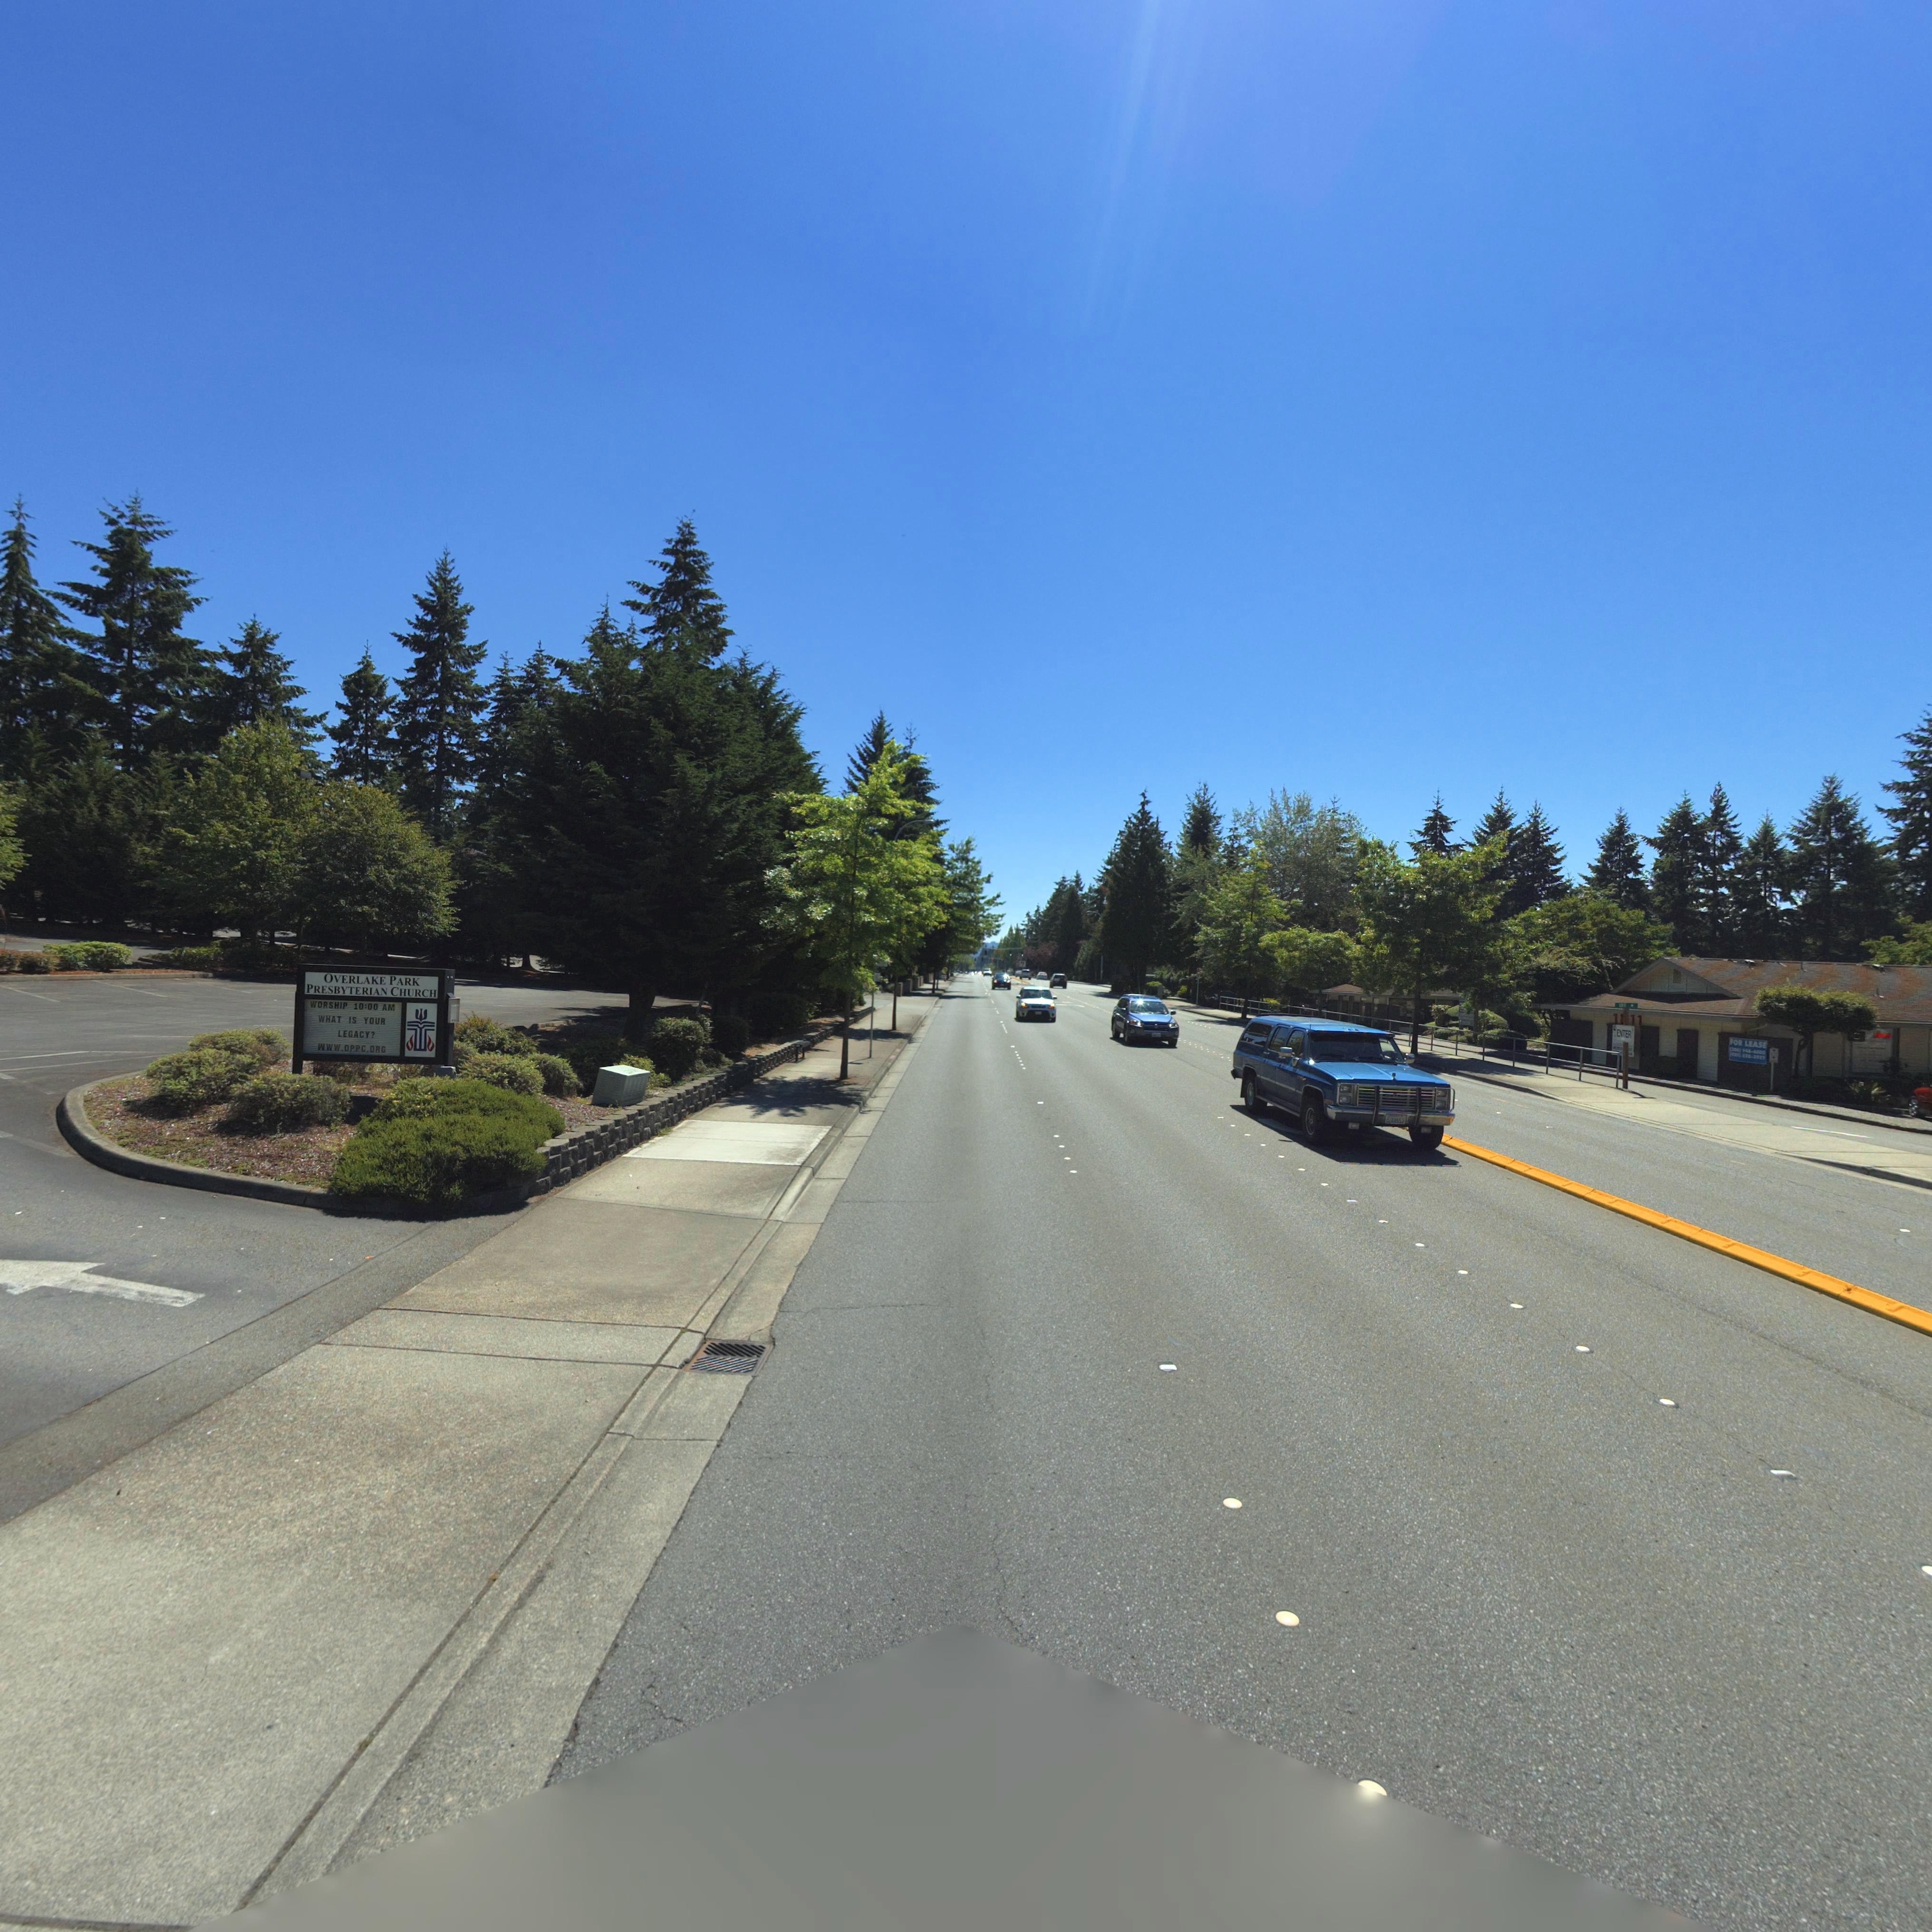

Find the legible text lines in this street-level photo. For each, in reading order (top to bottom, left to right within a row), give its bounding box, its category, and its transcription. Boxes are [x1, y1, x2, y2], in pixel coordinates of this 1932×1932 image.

[323, 973, 421, 987] BusinessName: OVERLAKE PARK
[305, 983, 438, 999] BusinessName: PRESBYTERIAN CHURCH